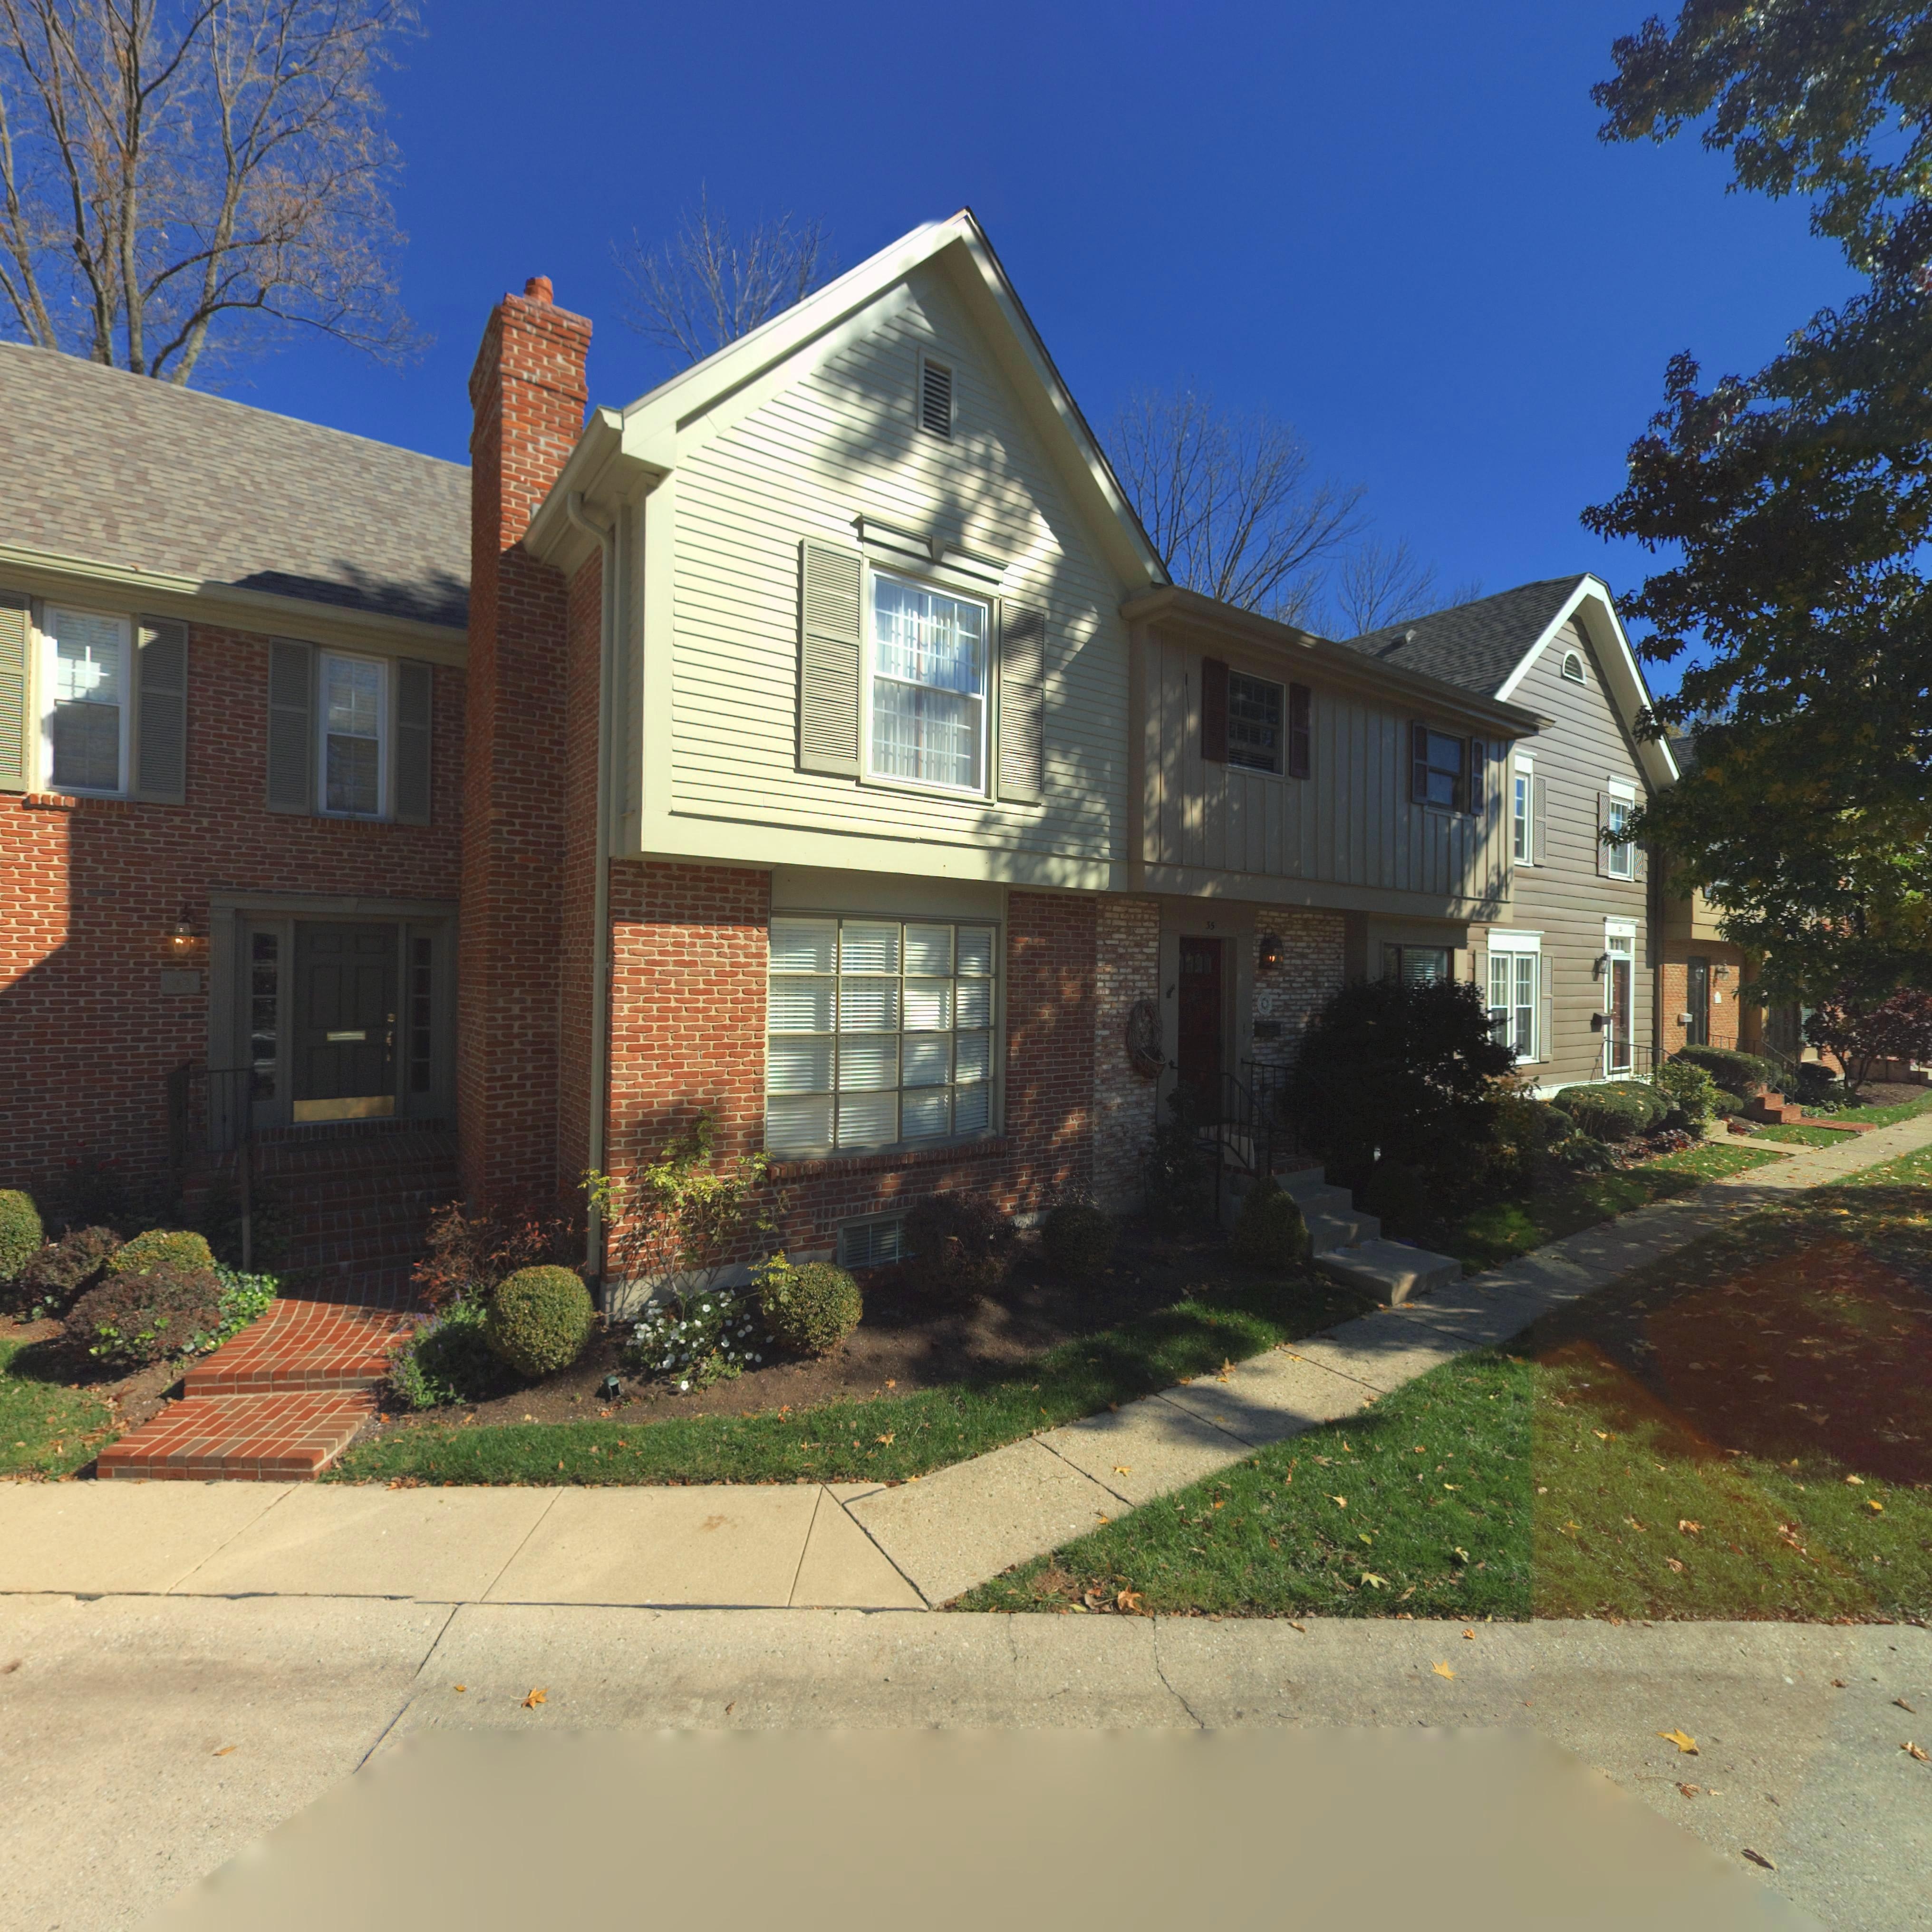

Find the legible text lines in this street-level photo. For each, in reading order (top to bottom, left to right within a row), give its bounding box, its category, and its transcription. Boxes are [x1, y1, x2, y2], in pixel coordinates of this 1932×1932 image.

[1204, 920, 1215, 930] StreetNumber: 35
[168, 975, 196, 991] StreetNumber: *7